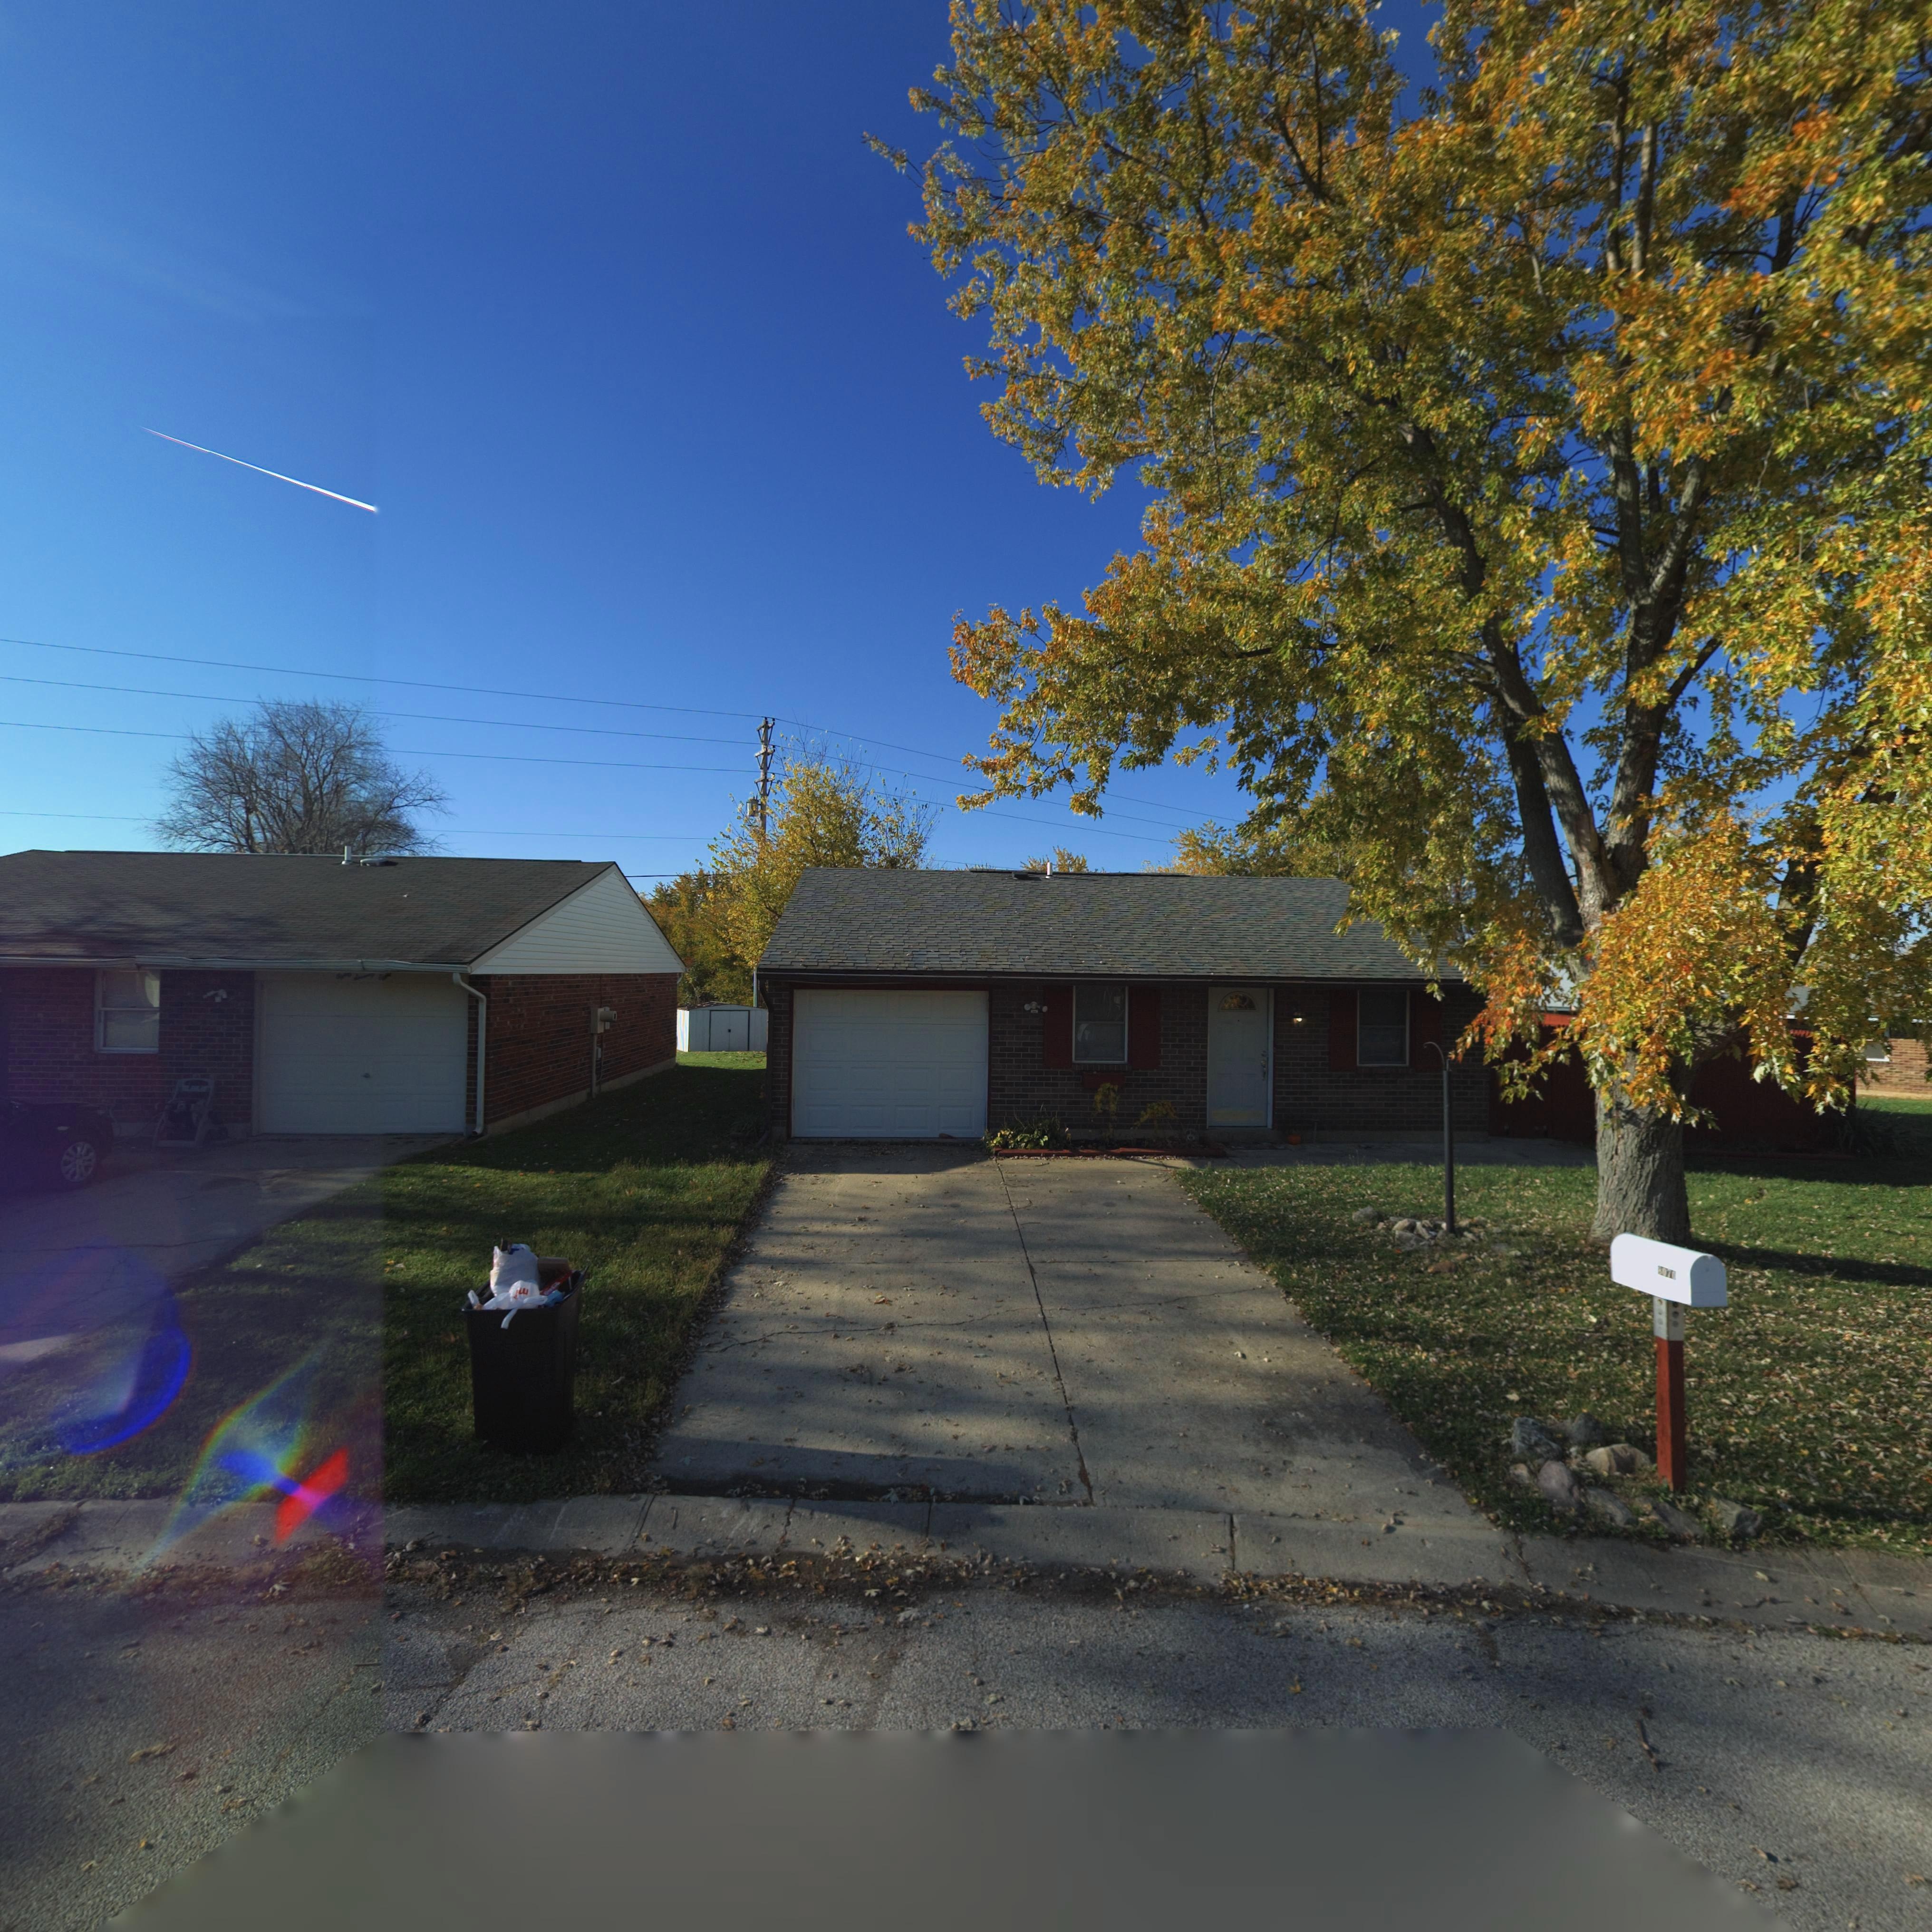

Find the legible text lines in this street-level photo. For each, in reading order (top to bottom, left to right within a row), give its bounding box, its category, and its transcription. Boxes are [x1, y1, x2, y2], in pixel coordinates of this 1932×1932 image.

[1658, 1265, 1677, 1282] StreetNumber: *07*